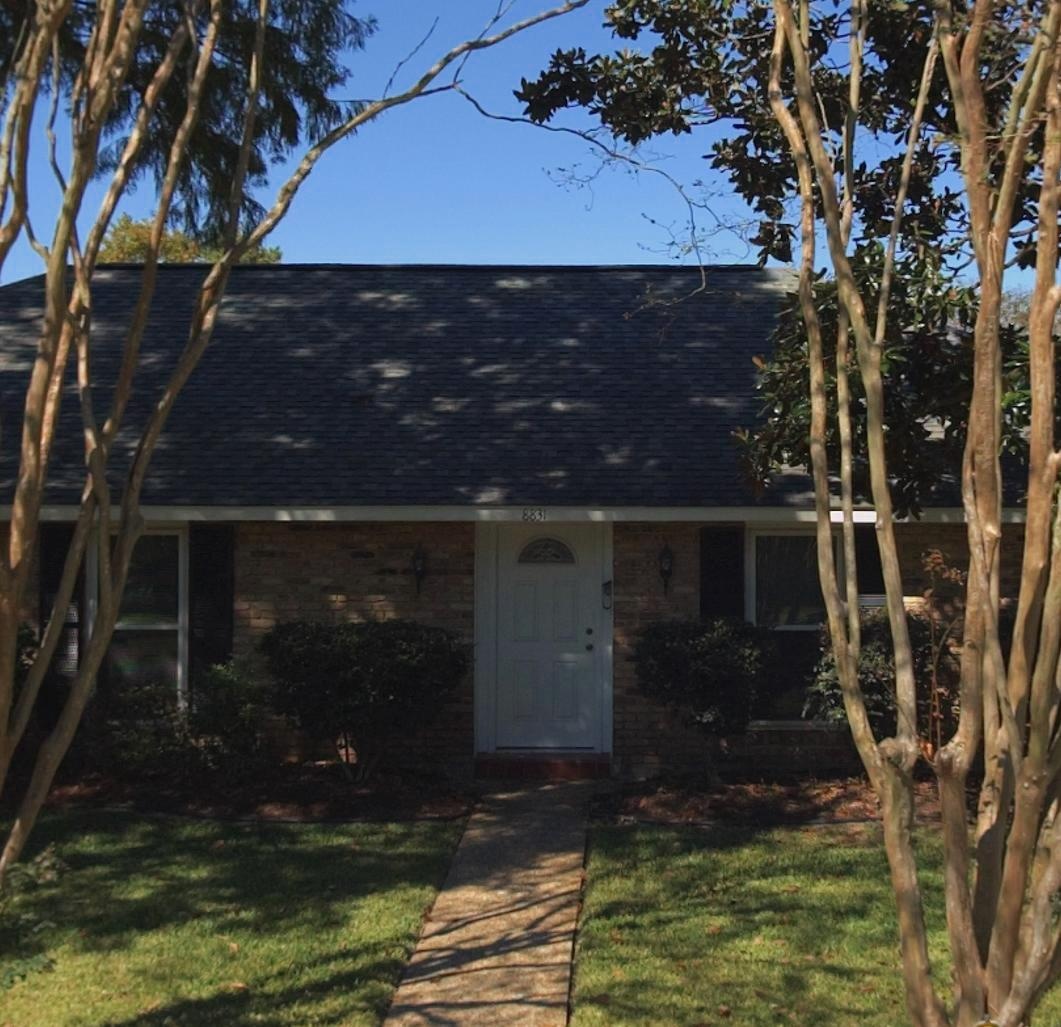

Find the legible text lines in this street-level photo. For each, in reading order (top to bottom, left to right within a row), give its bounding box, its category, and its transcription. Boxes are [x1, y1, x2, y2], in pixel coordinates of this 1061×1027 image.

[521, 507, 547, 523] StreetNumber: 8831